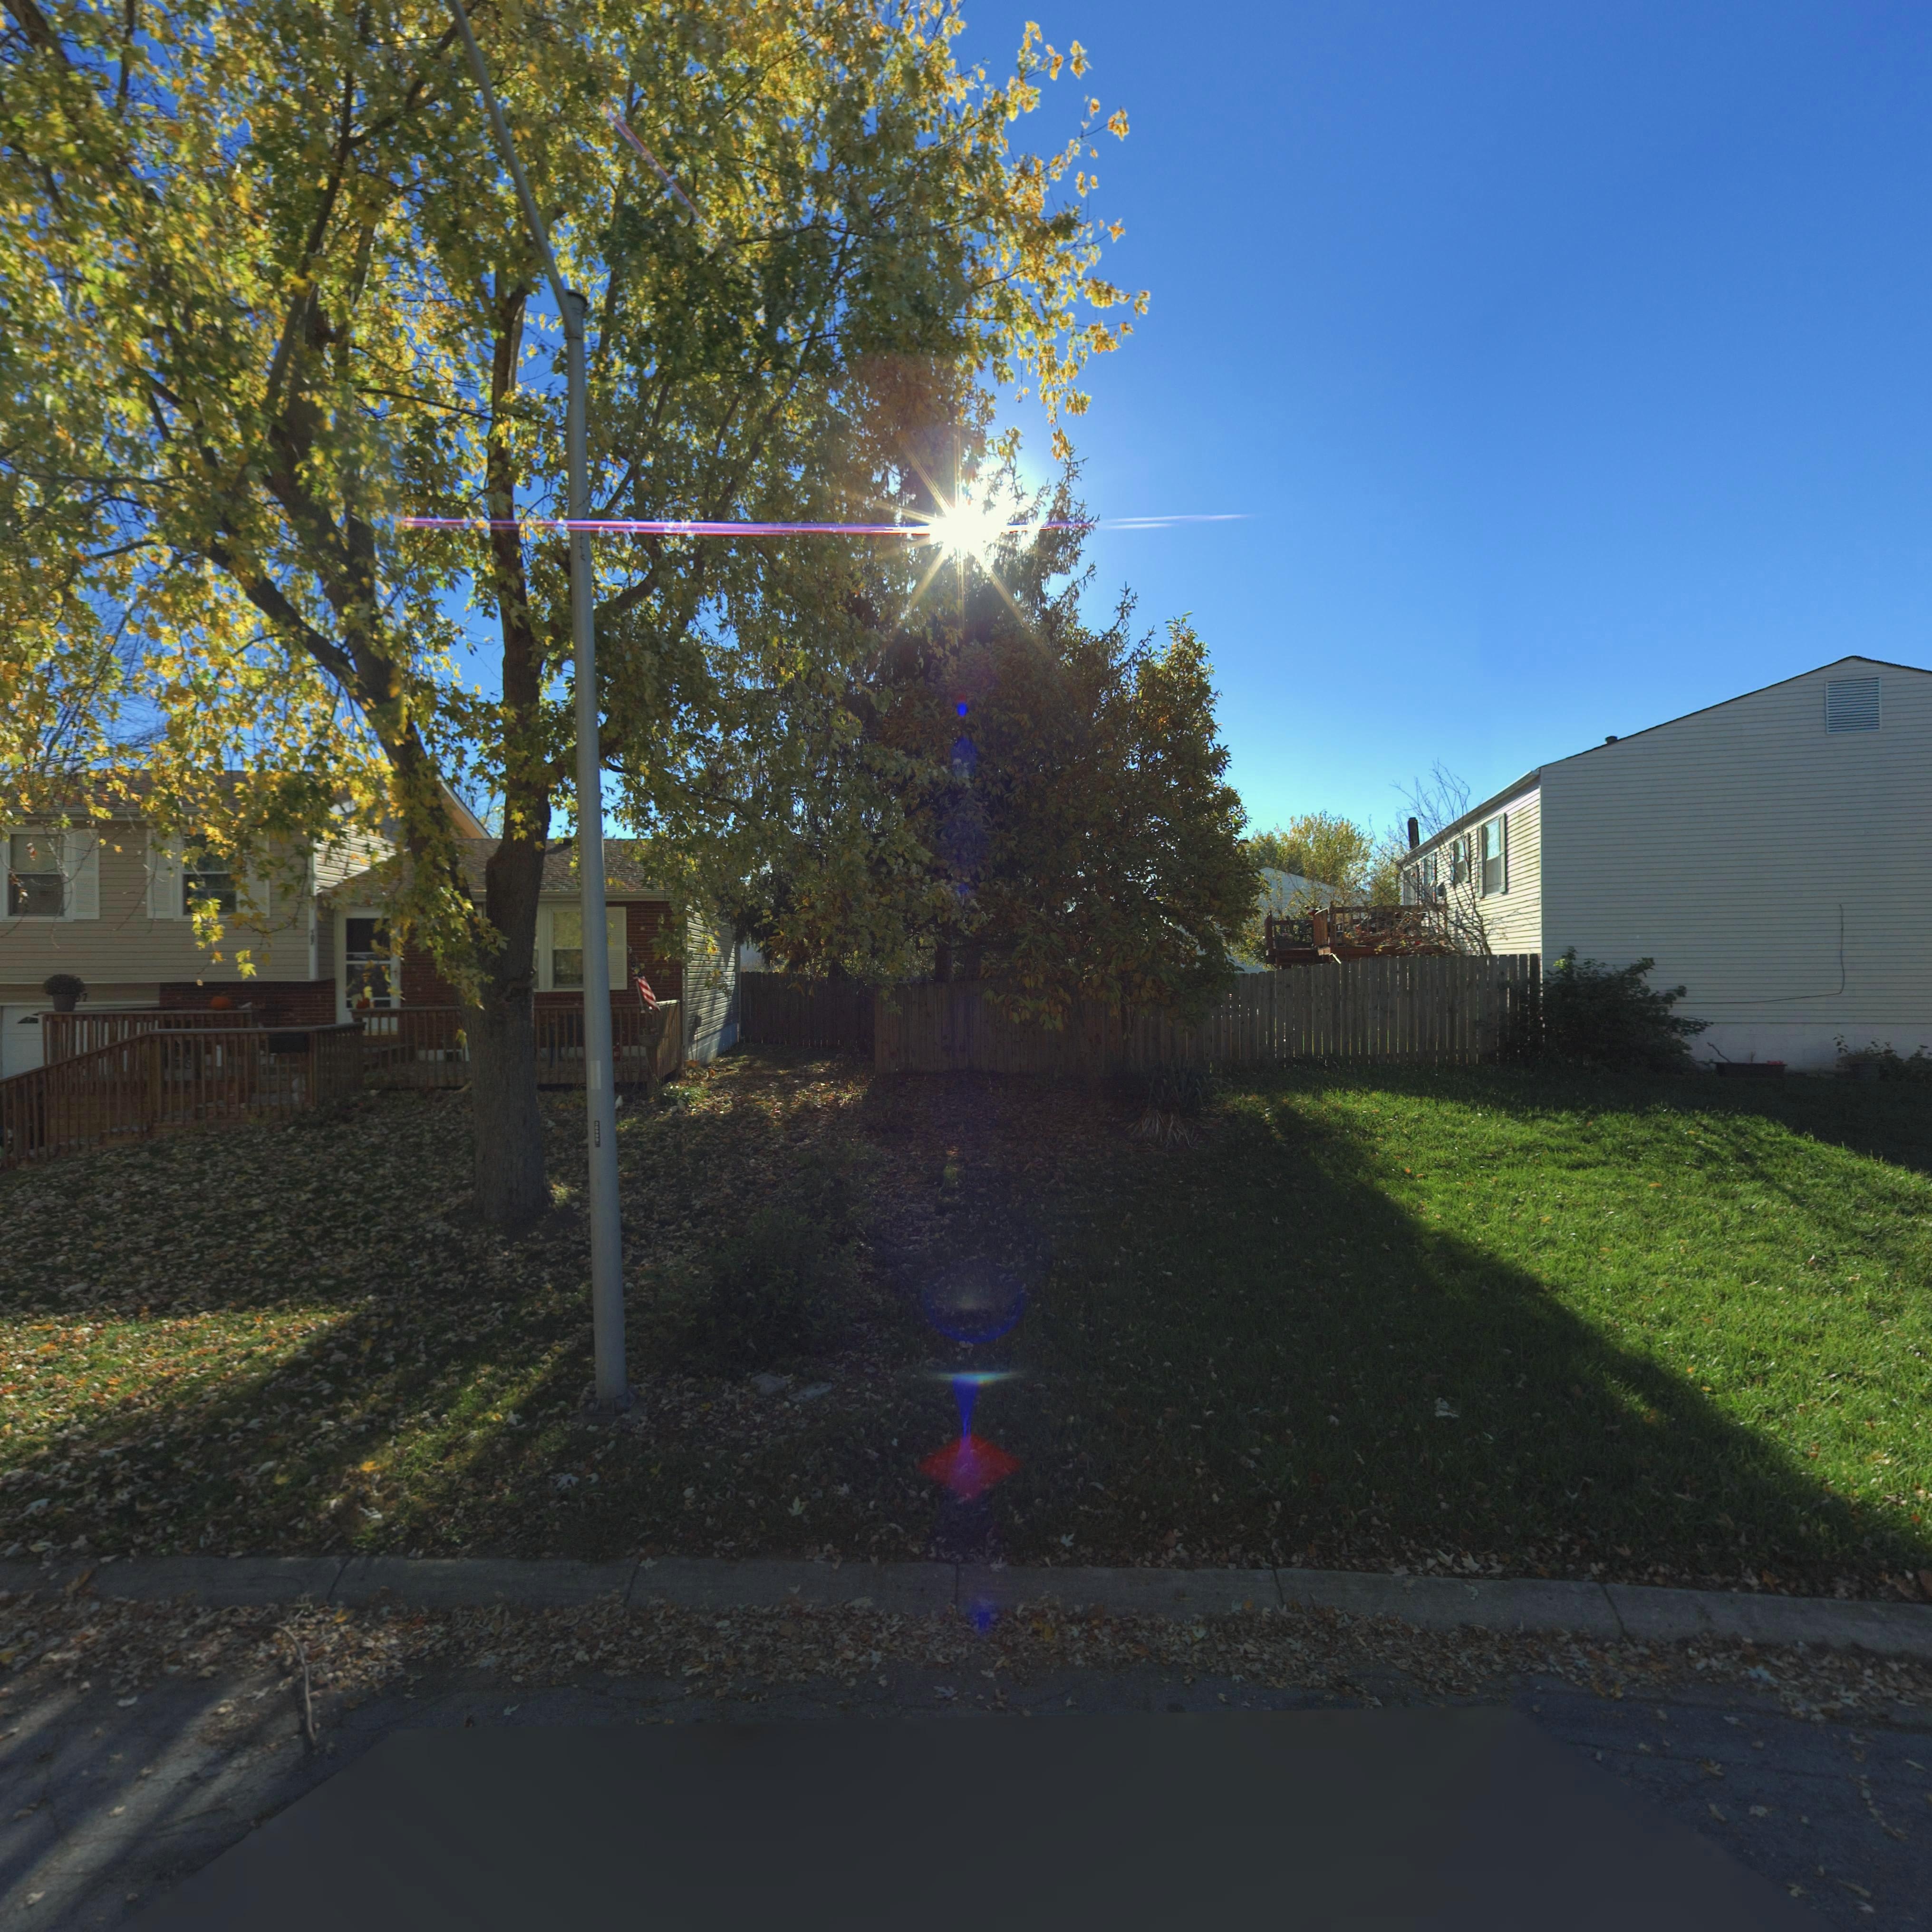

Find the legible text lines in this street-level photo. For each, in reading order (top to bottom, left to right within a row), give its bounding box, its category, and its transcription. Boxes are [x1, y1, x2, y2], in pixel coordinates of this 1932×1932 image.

[309, 928, 315, 946] StreetNumber: 107